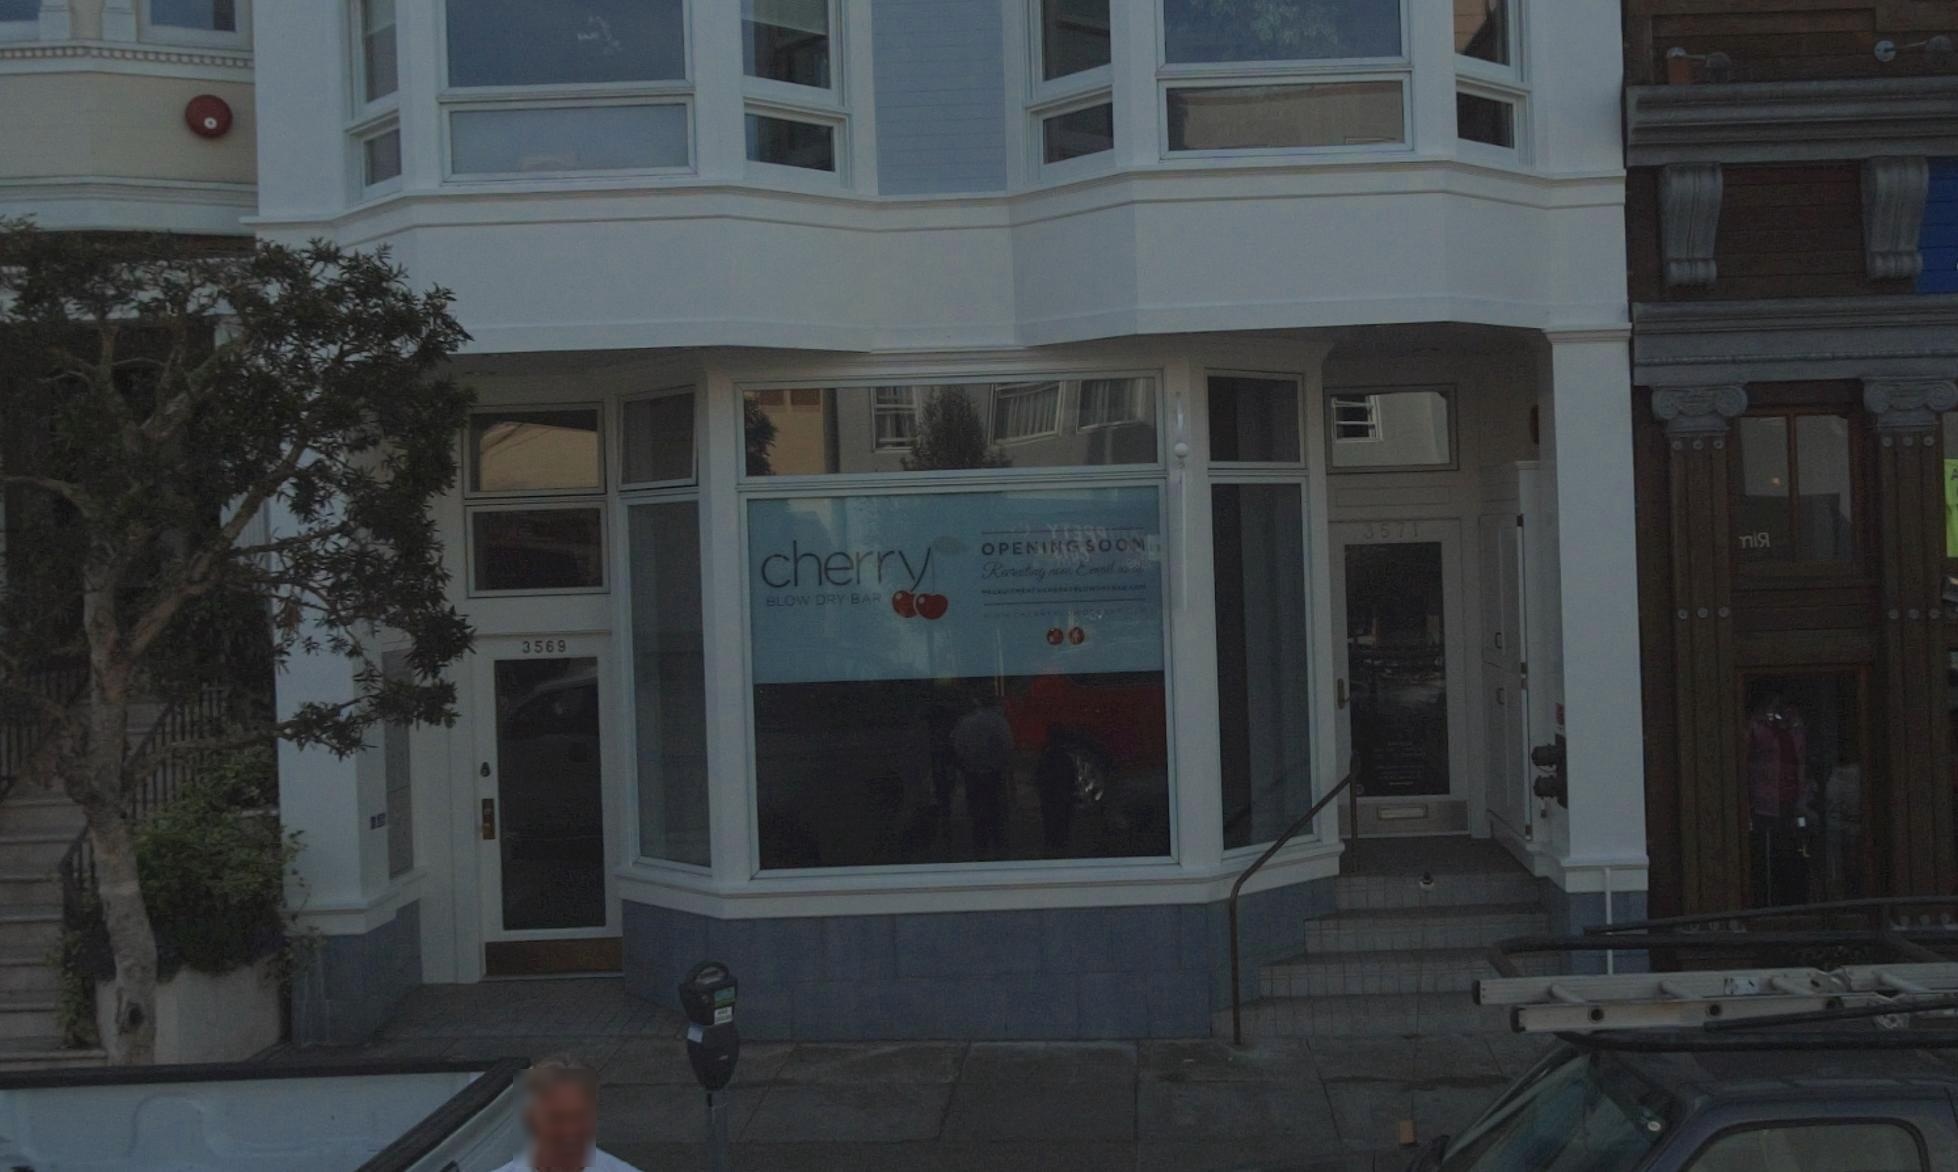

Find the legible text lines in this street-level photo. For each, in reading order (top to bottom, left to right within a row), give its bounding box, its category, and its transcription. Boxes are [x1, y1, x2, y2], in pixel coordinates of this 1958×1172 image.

[978, 535, 1147, 559] None: OPENING SOON
[1362, 519, 1421, 542] StreetNumber: 3571
[1750, 530, 1774, 550] None: i*
[757, 536, 939, 596] BusinessName: cherry
[764, 592, 885, 608] BusinessName: BLOW DRY BAR
[520, 638, 568, 655] StreetNumber: 3569